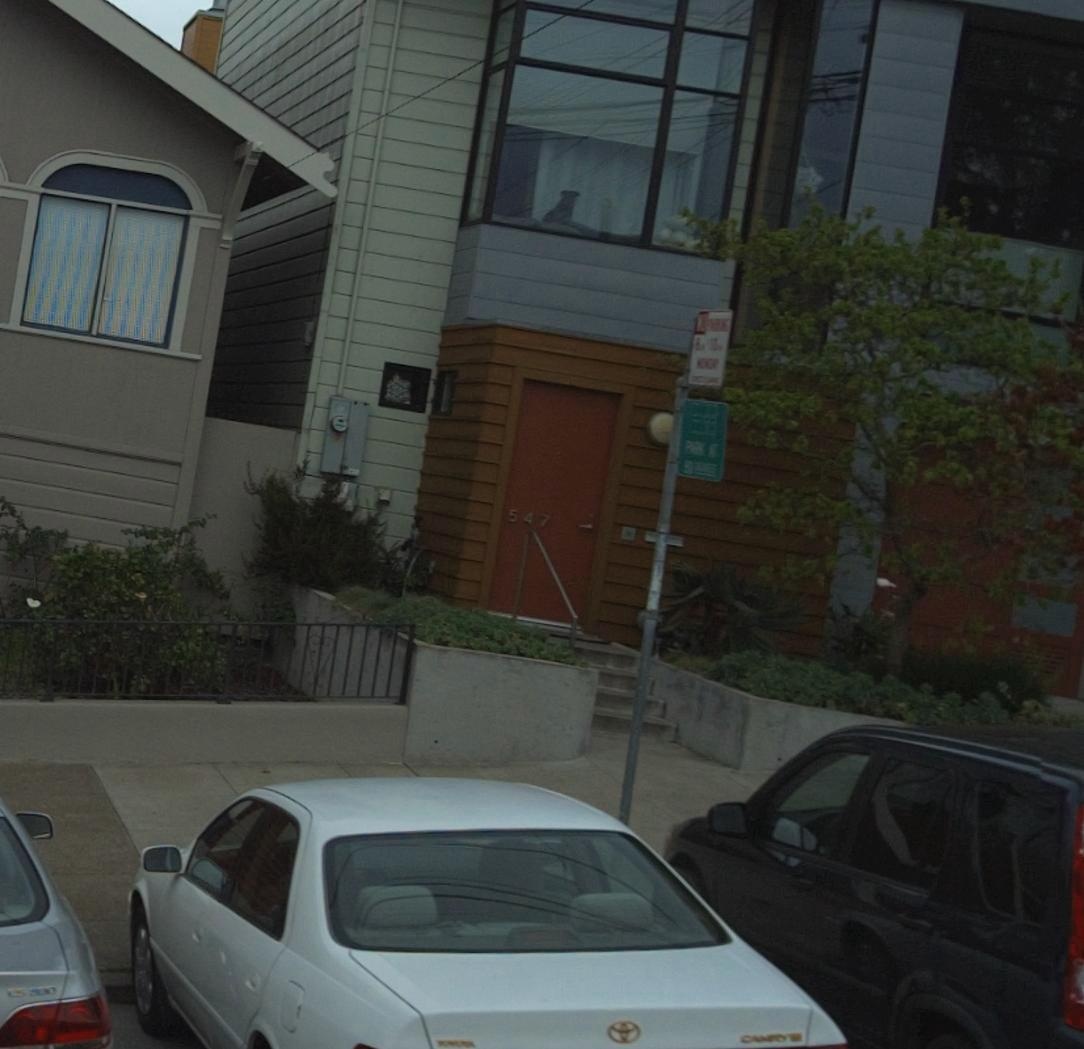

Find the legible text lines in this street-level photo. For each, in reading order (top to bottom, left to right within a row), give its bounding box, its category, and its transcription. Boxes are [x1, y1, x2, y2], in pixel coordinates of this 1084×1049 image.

[694, 316, 732, 333] None: NO PARKING
[693, 336, 701, 352] None: 8
[695, 355, 720, 369] None: MONDAY
[684, 440, 709, 456] None: PARK
[507, 508, 554, 528] StreetNumber: 547